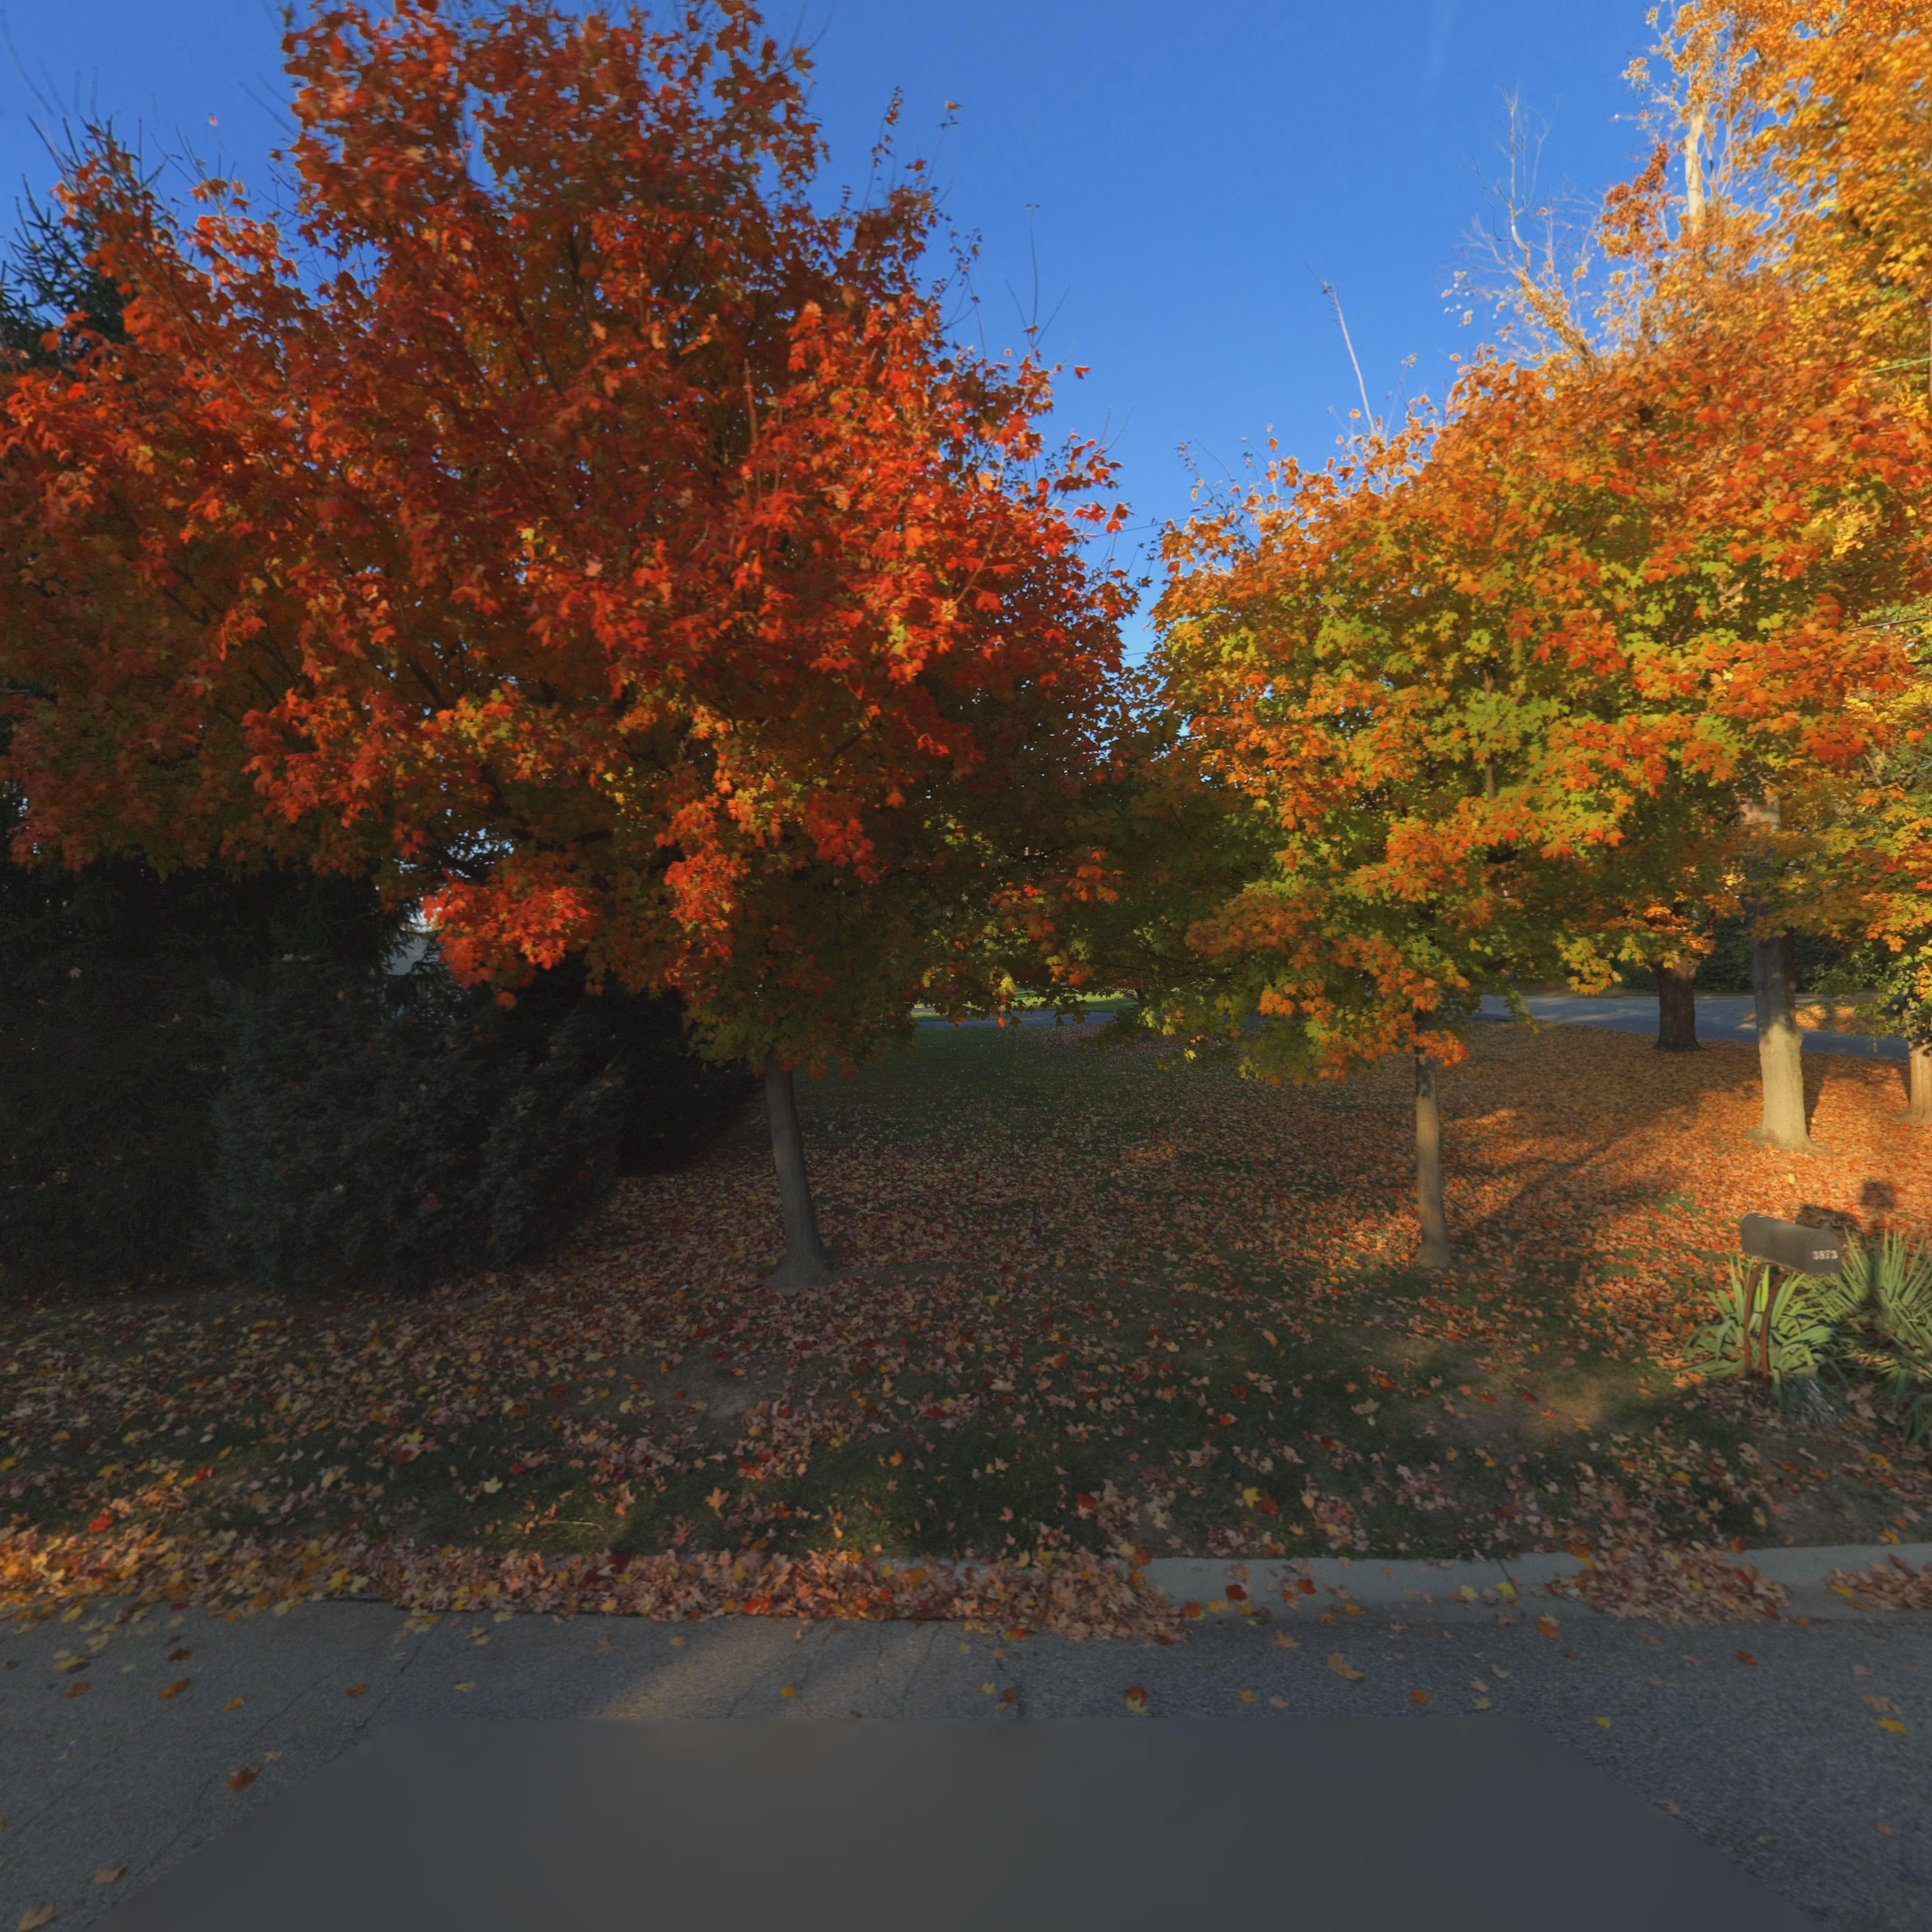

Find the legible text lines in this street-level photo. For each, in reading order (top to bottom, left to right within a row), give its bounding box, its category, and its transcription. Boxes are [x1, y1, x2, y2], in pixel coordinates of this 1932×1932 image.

[1811, 1249, 1838, 1261] StreetNumber: 3873